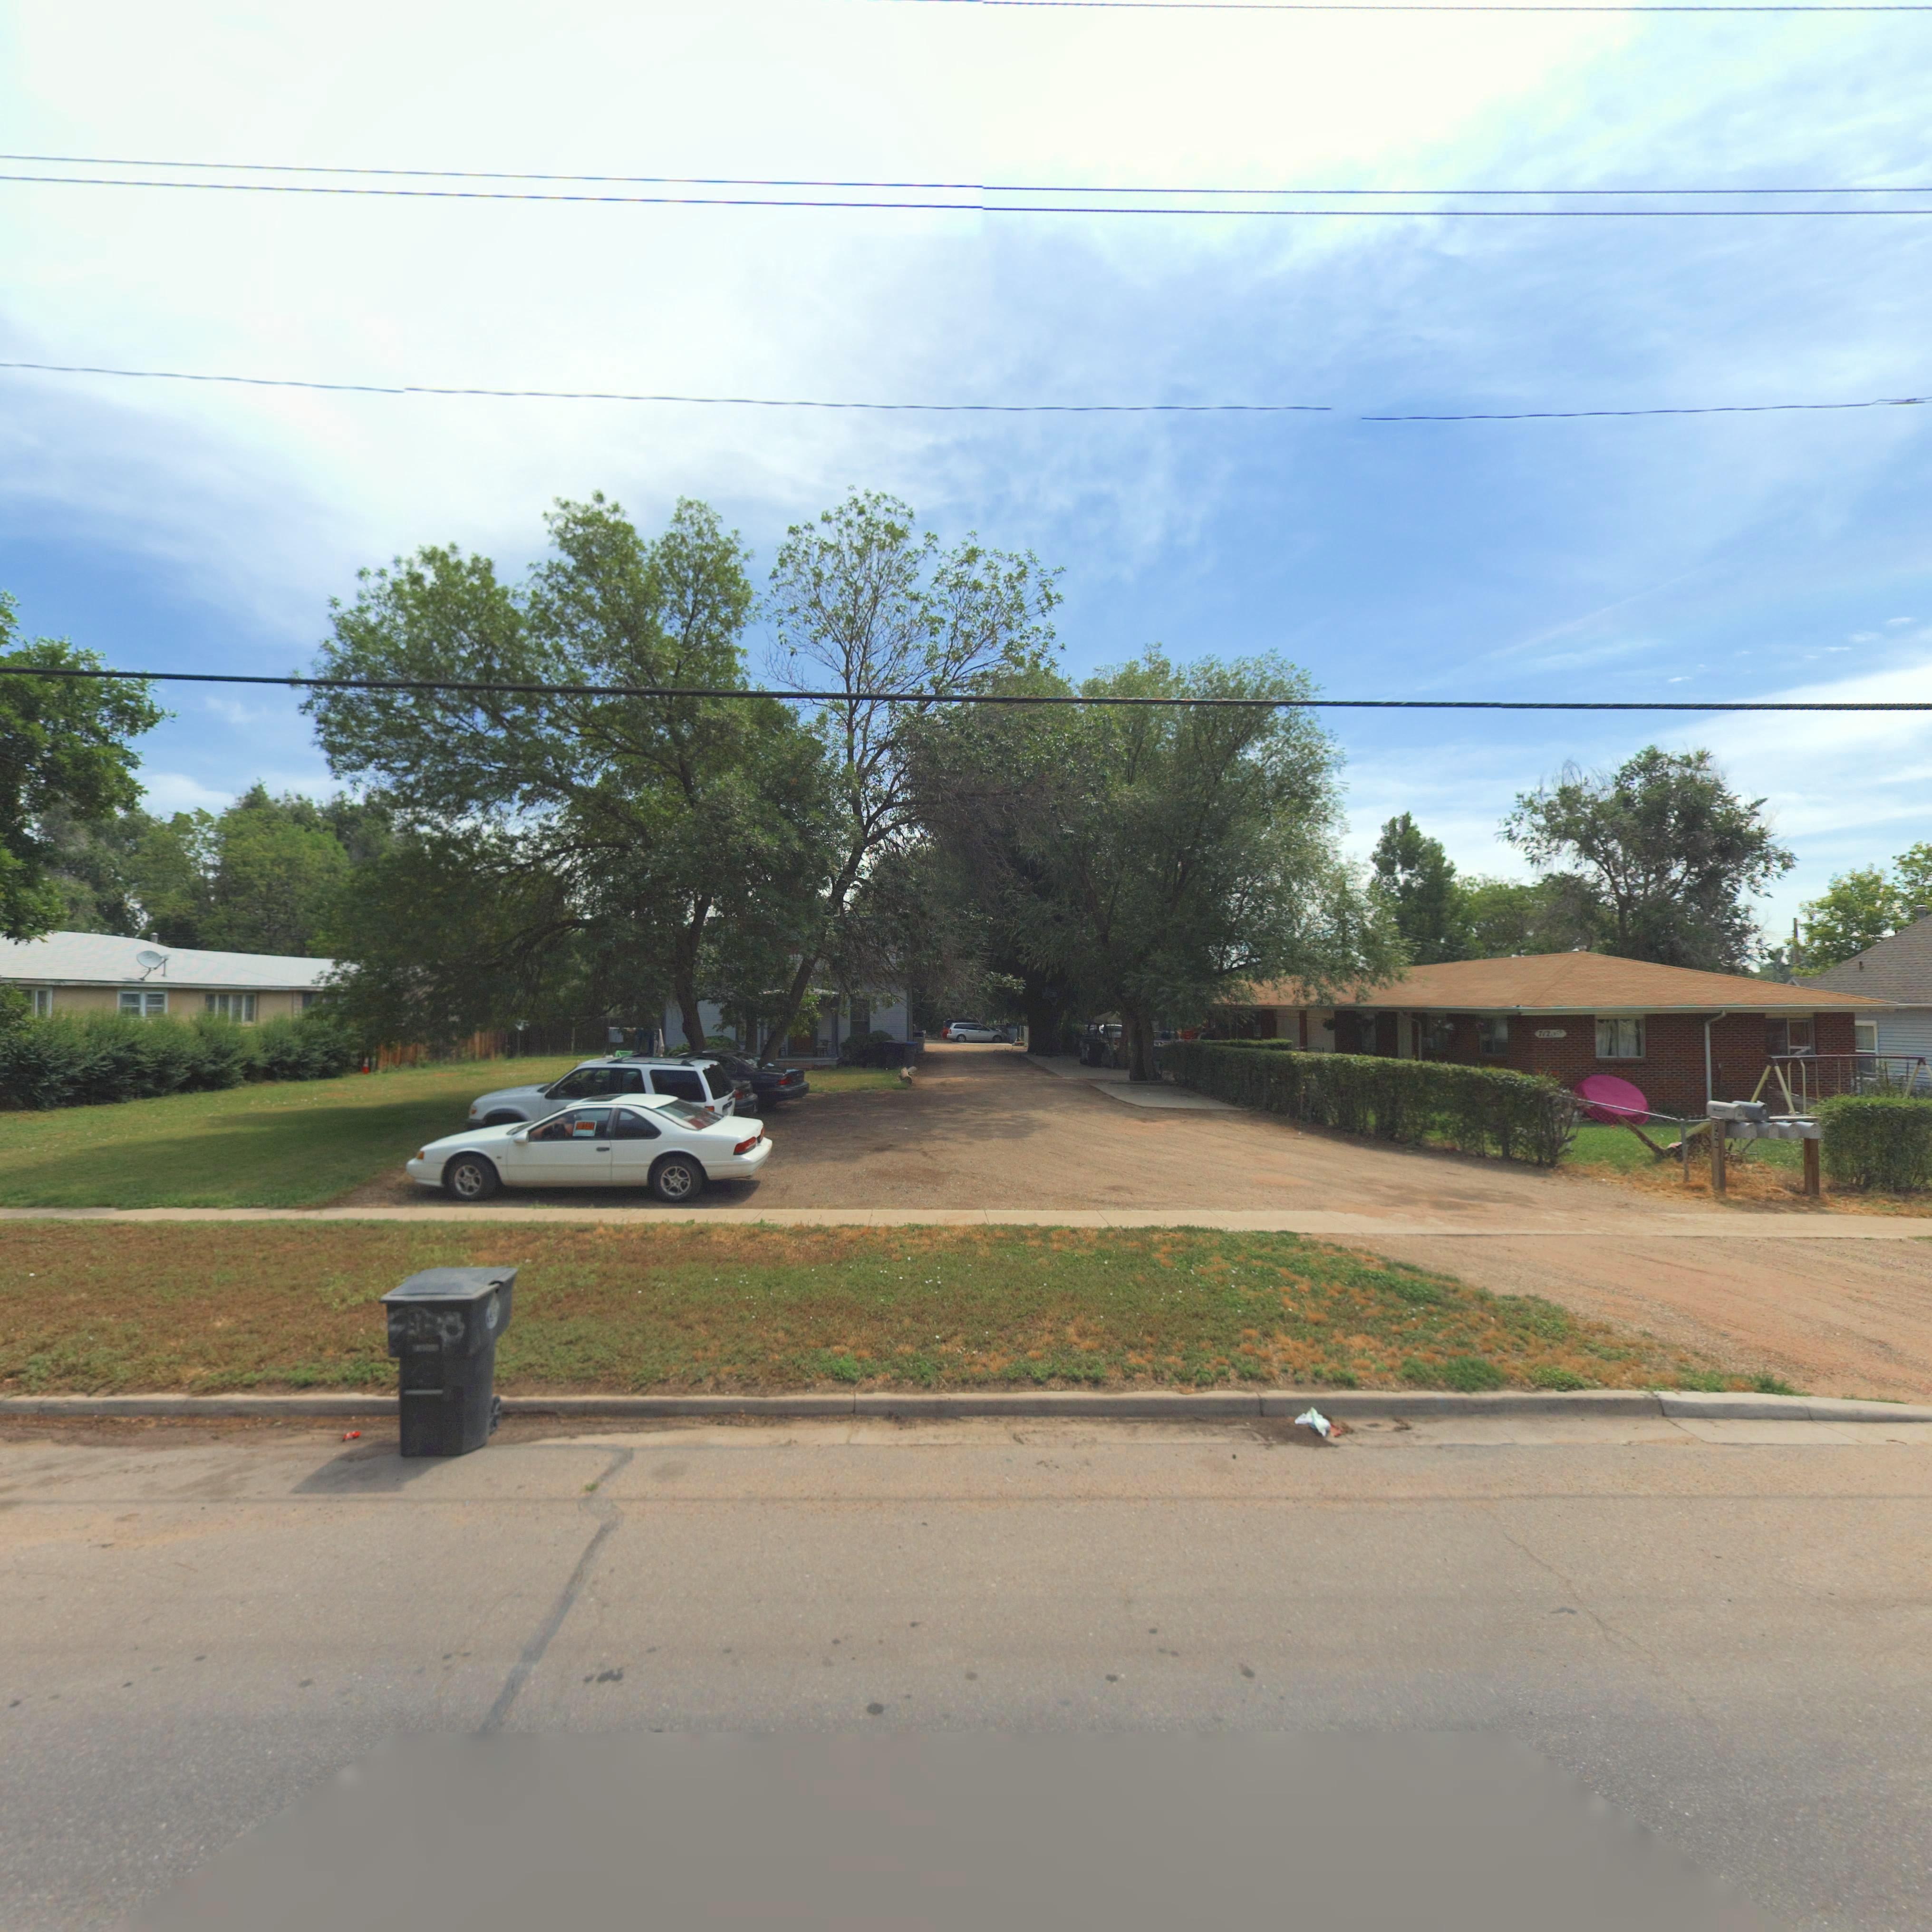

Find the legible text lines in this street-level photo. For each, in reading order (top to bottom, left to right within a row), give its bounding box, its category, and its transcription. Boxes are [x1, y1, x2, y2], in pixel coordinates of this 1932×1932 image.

[1538, 1030, 1551, 1037] StreetNumber: 712
[1713, 1121, 1719, 1149] StreetNumber: 720